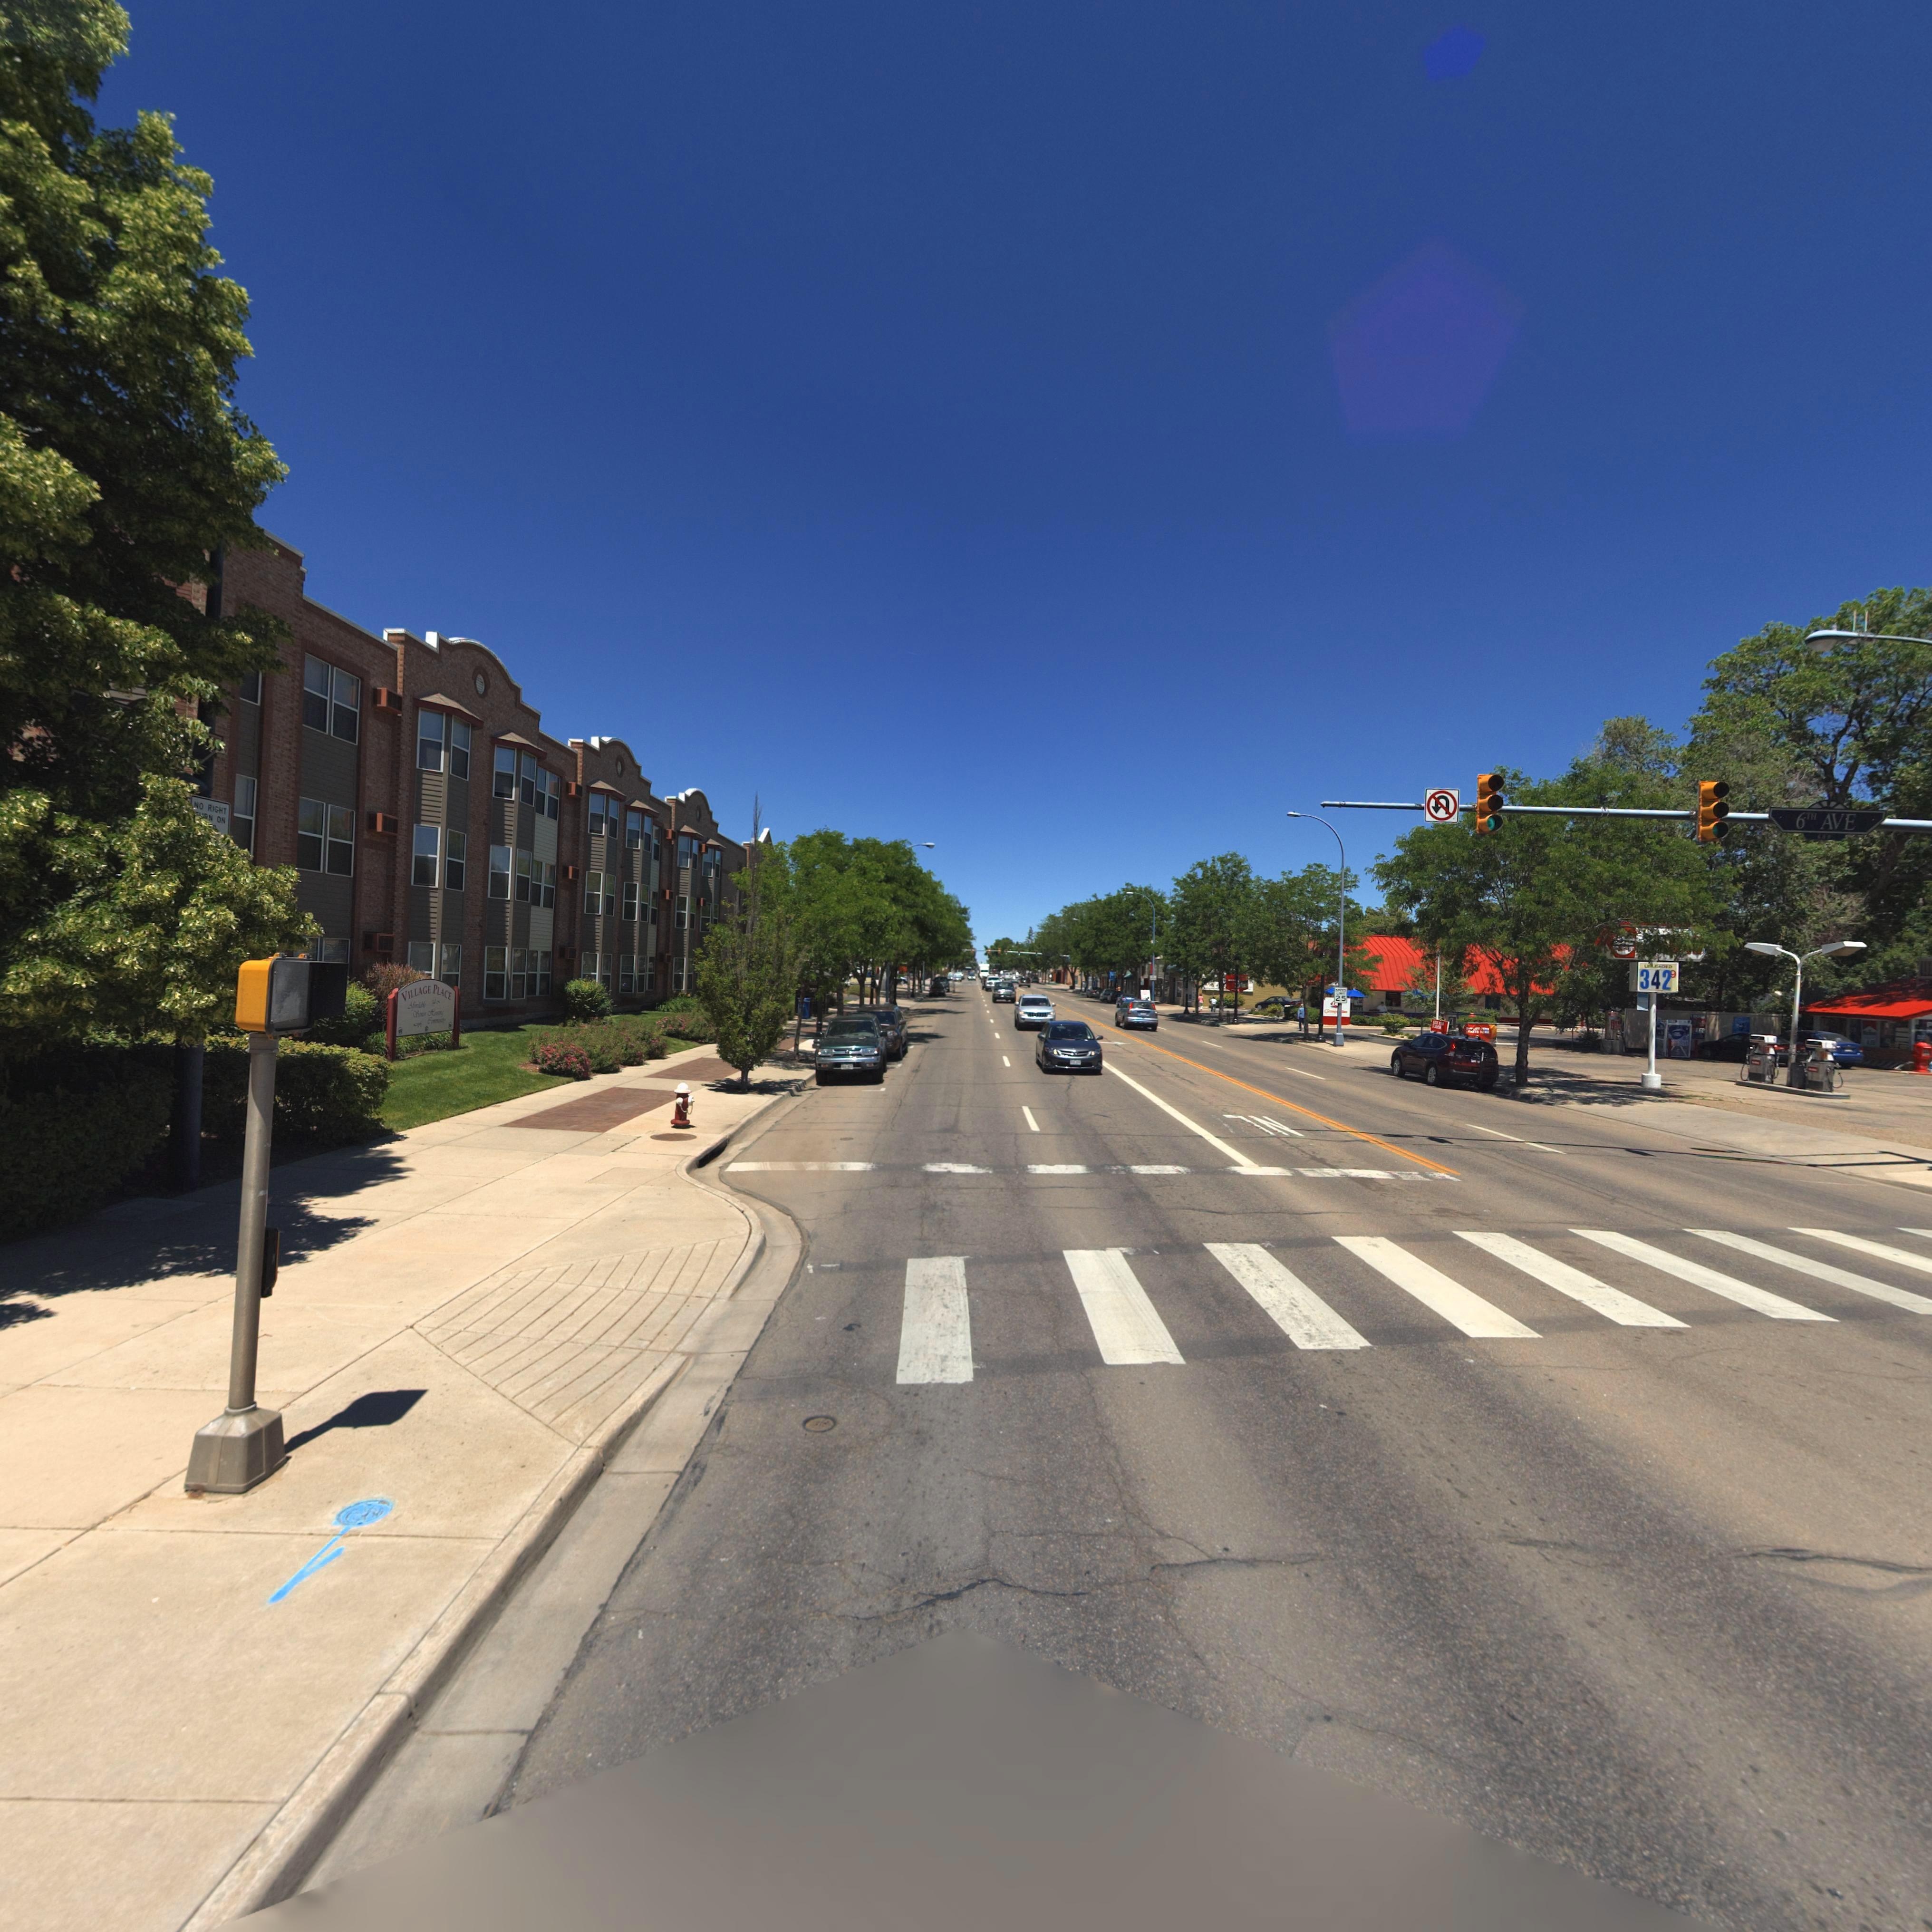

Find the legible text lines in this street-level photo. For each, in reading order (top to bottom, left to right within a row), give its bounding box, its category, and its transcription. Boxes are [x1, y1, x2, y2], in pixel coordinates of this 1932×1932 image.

[1795, 811, 1857, 831] StreetName: 6TH AVE
[1816, 833, 1832, 840] StreetNumberRange: 600
[400, 984, 453, 1002] BusinessName: VILLAGE PLACE
[1324, 1008, 1348, 1014] None: Orange *IUS